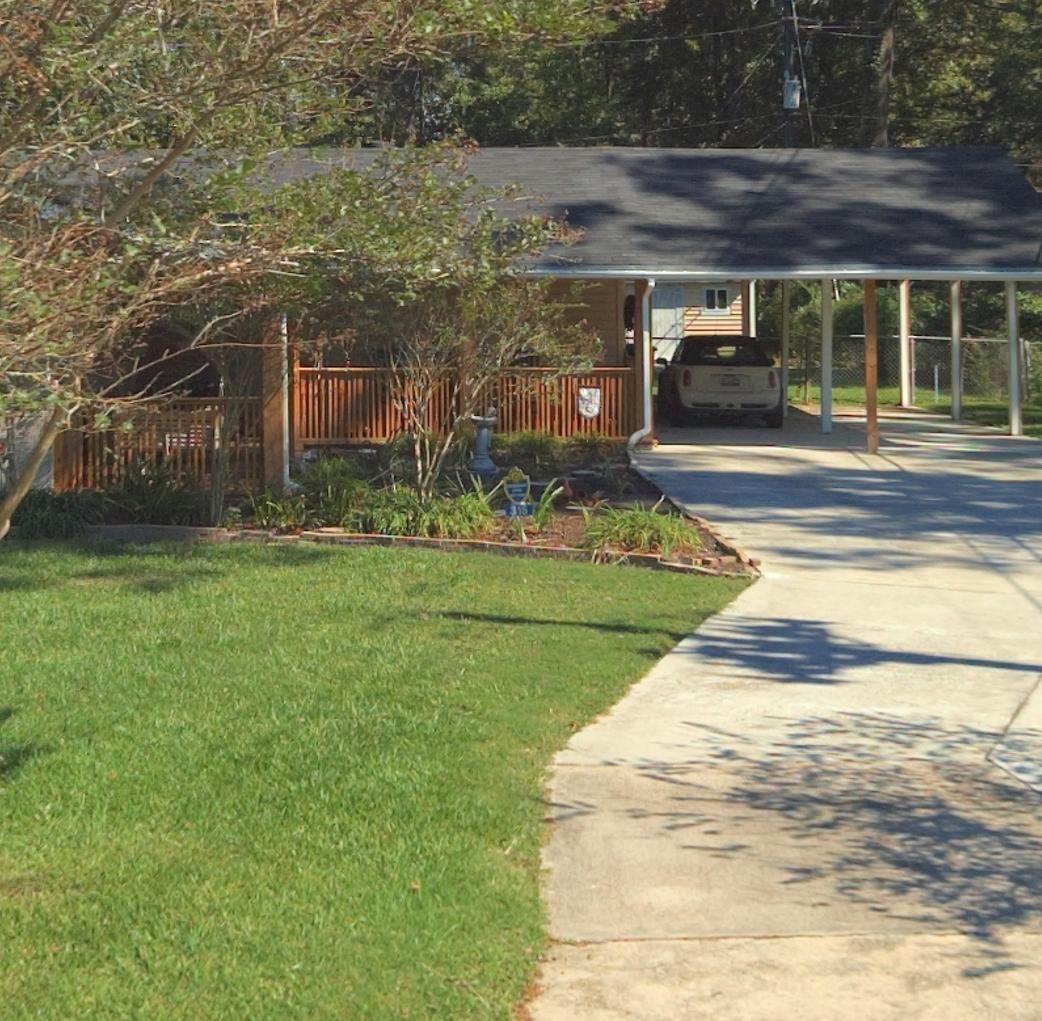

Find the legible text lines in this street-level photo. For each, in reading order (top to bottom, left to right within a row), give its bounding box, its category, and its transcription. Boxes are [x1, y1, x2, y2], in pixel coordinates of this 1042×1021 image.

[508, 504, 530, 516] StreetNumber: 315